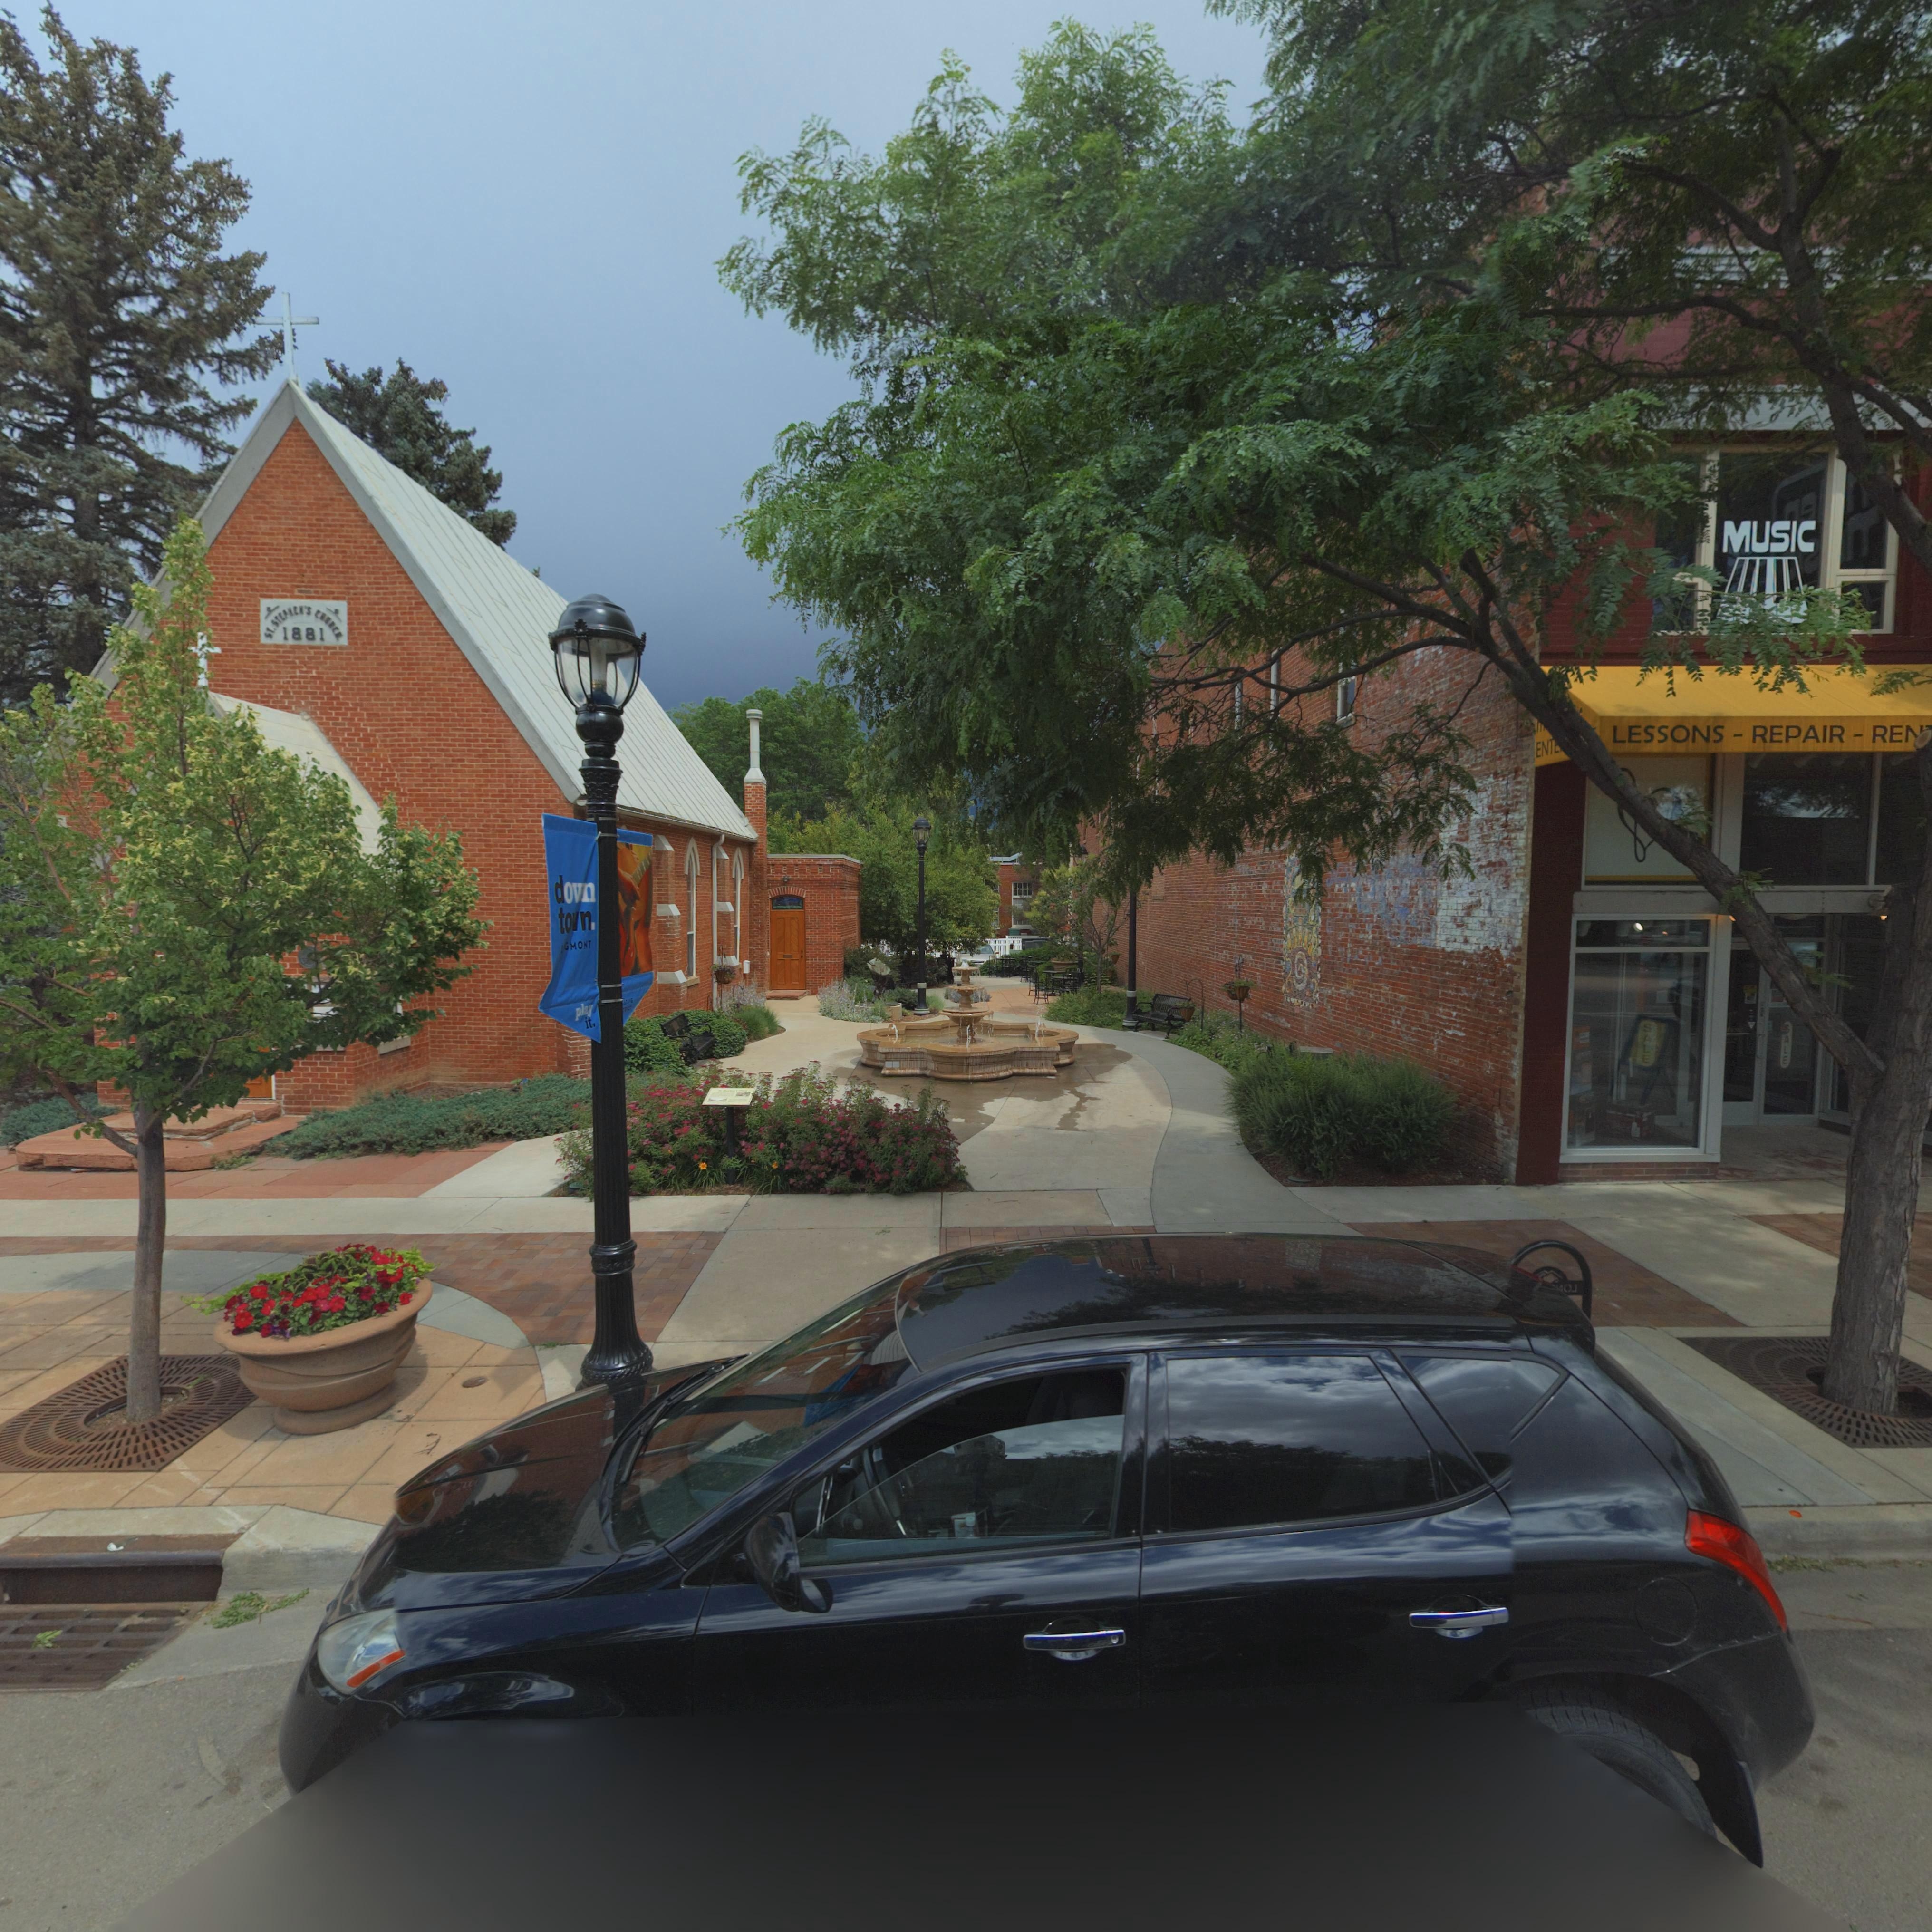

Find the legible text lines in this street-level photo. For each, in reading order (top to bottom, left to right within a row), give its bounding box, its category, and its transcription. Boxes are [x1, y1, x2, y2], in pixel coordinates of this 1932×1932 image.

[263, 604, 344, 640] BusinessName: ST. STEPHEN'S CH*RCH